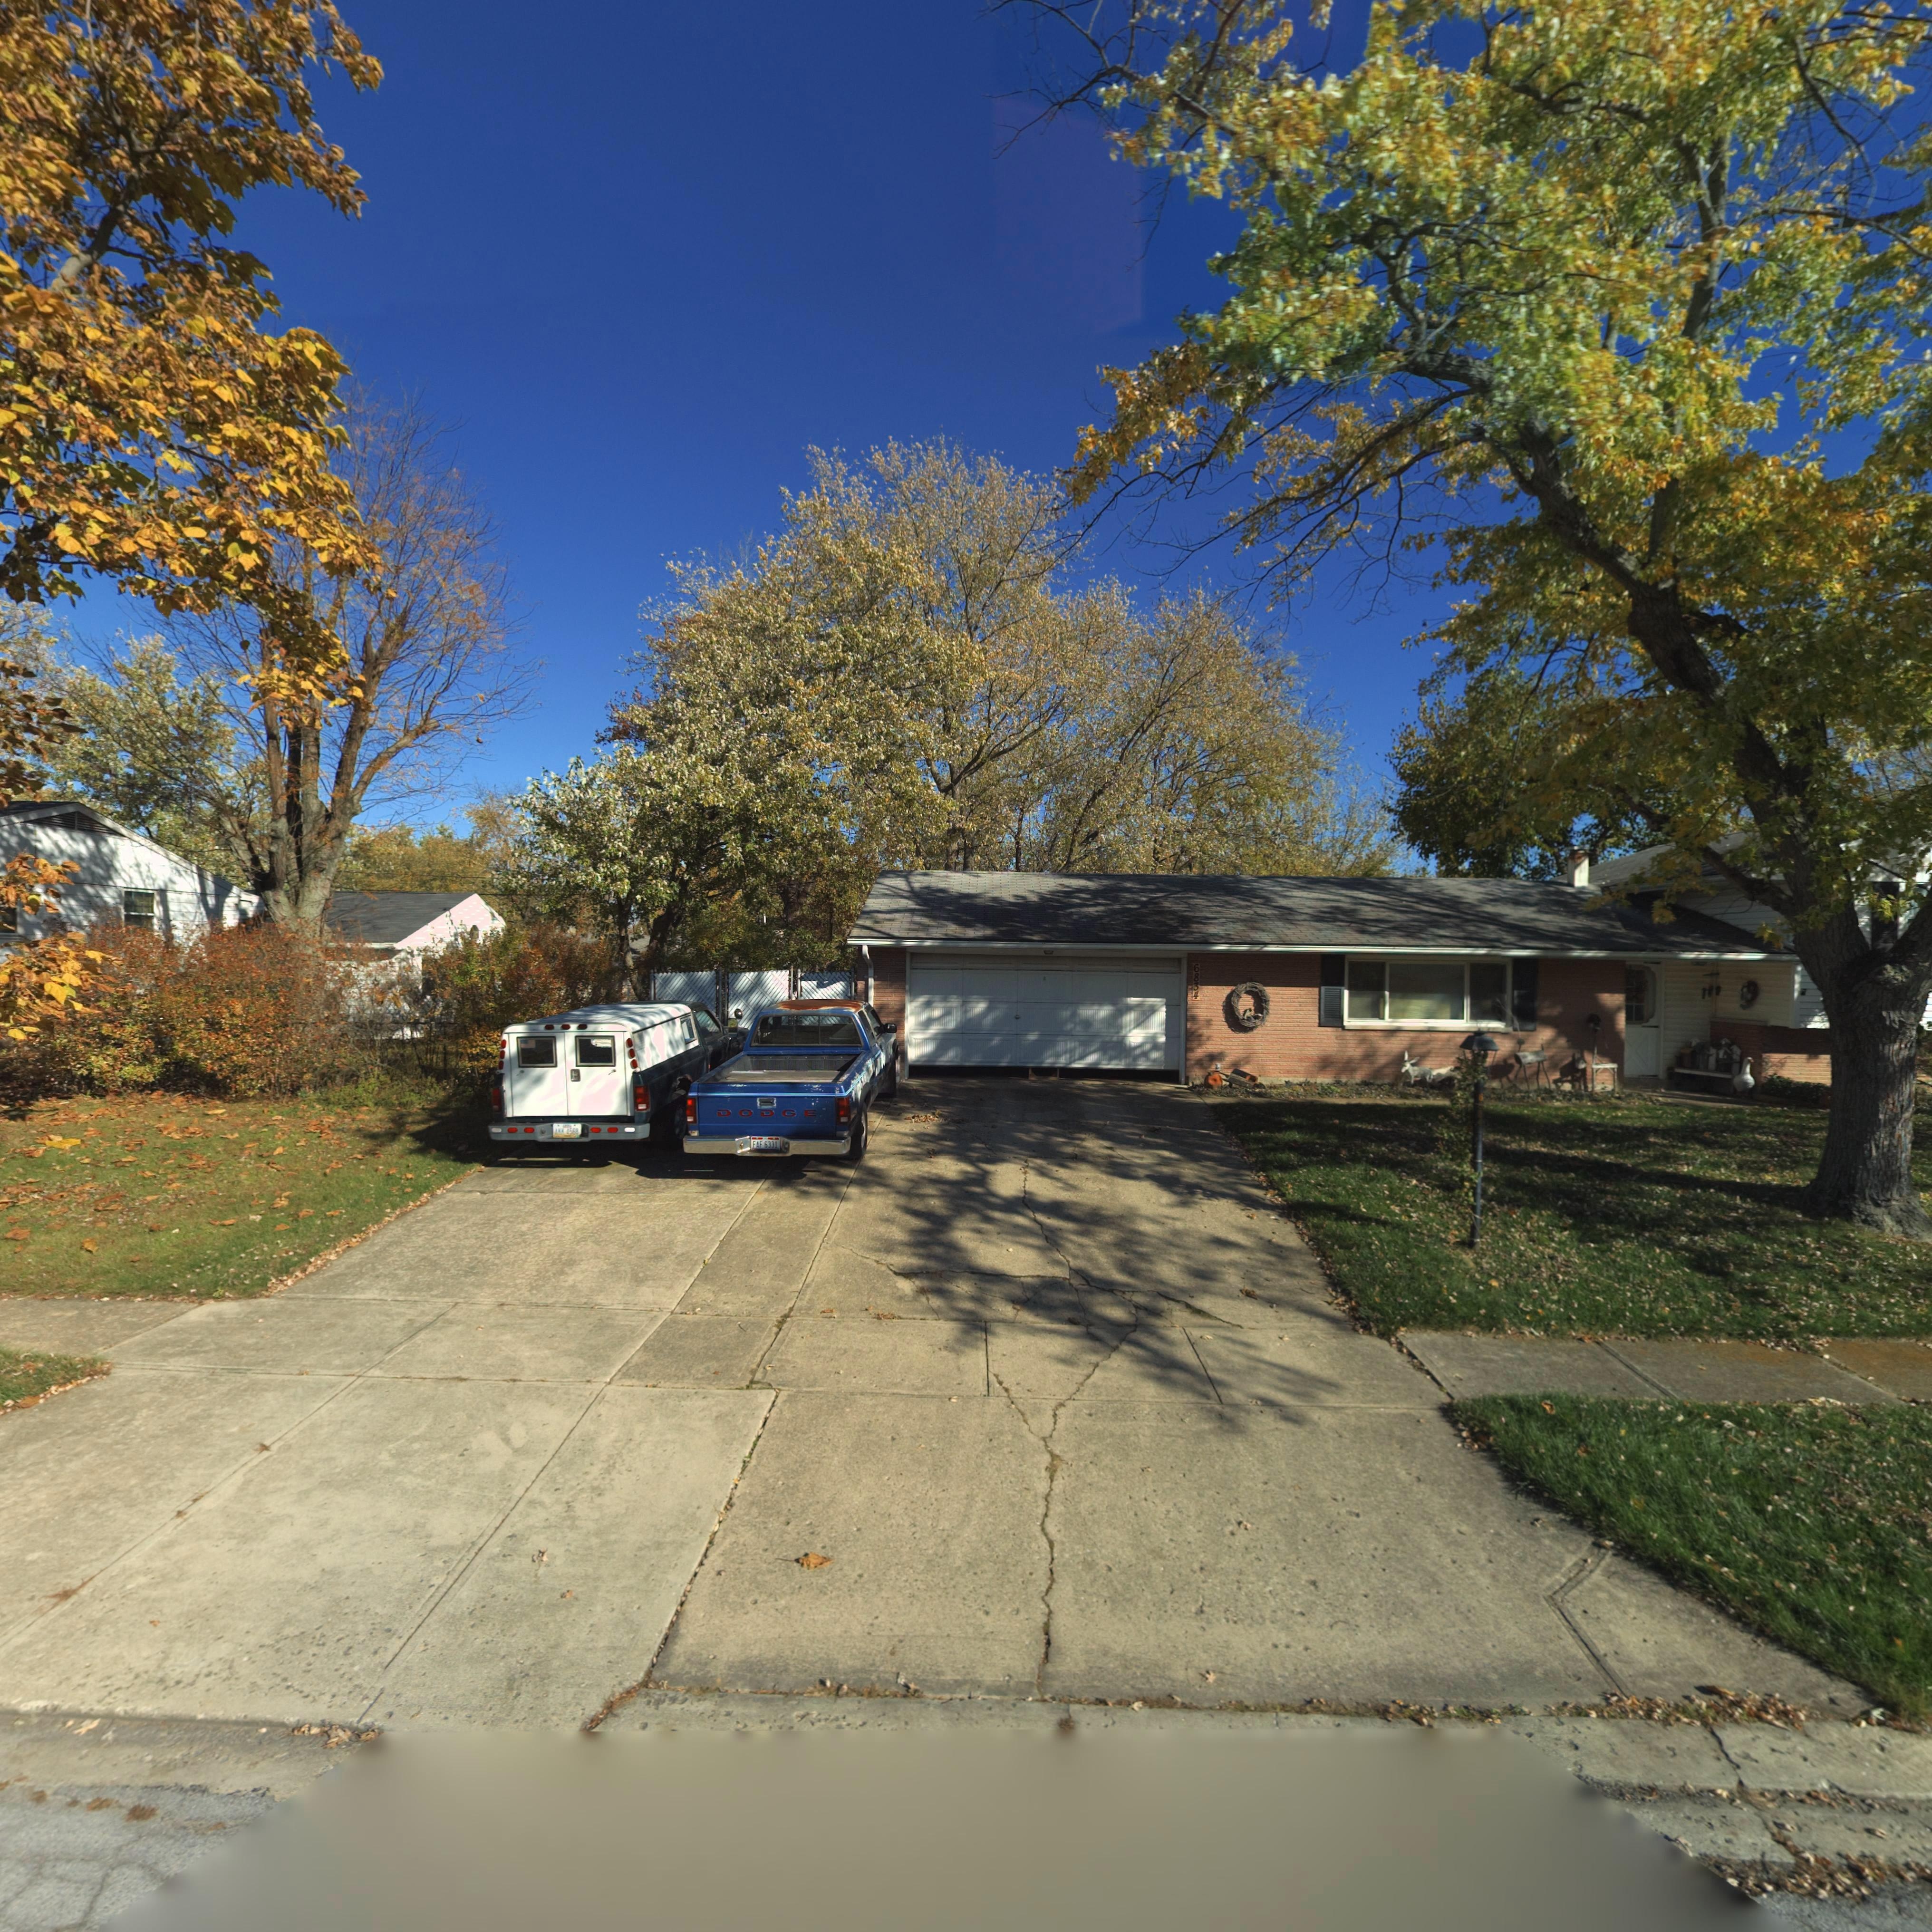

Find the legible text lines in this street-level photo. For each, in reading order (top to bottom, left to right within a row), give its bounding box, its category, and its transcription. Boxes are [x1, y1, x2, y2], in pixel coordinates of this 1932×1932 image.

[1192, 963, 1200, 1000] StreetNumber: 6834
[716, 1108, 817, 1117] None: DODGE
[553, 1127, 579, 1136] None: AKK*4568
[752, 1140, 778, 1149] None: FAF*6331